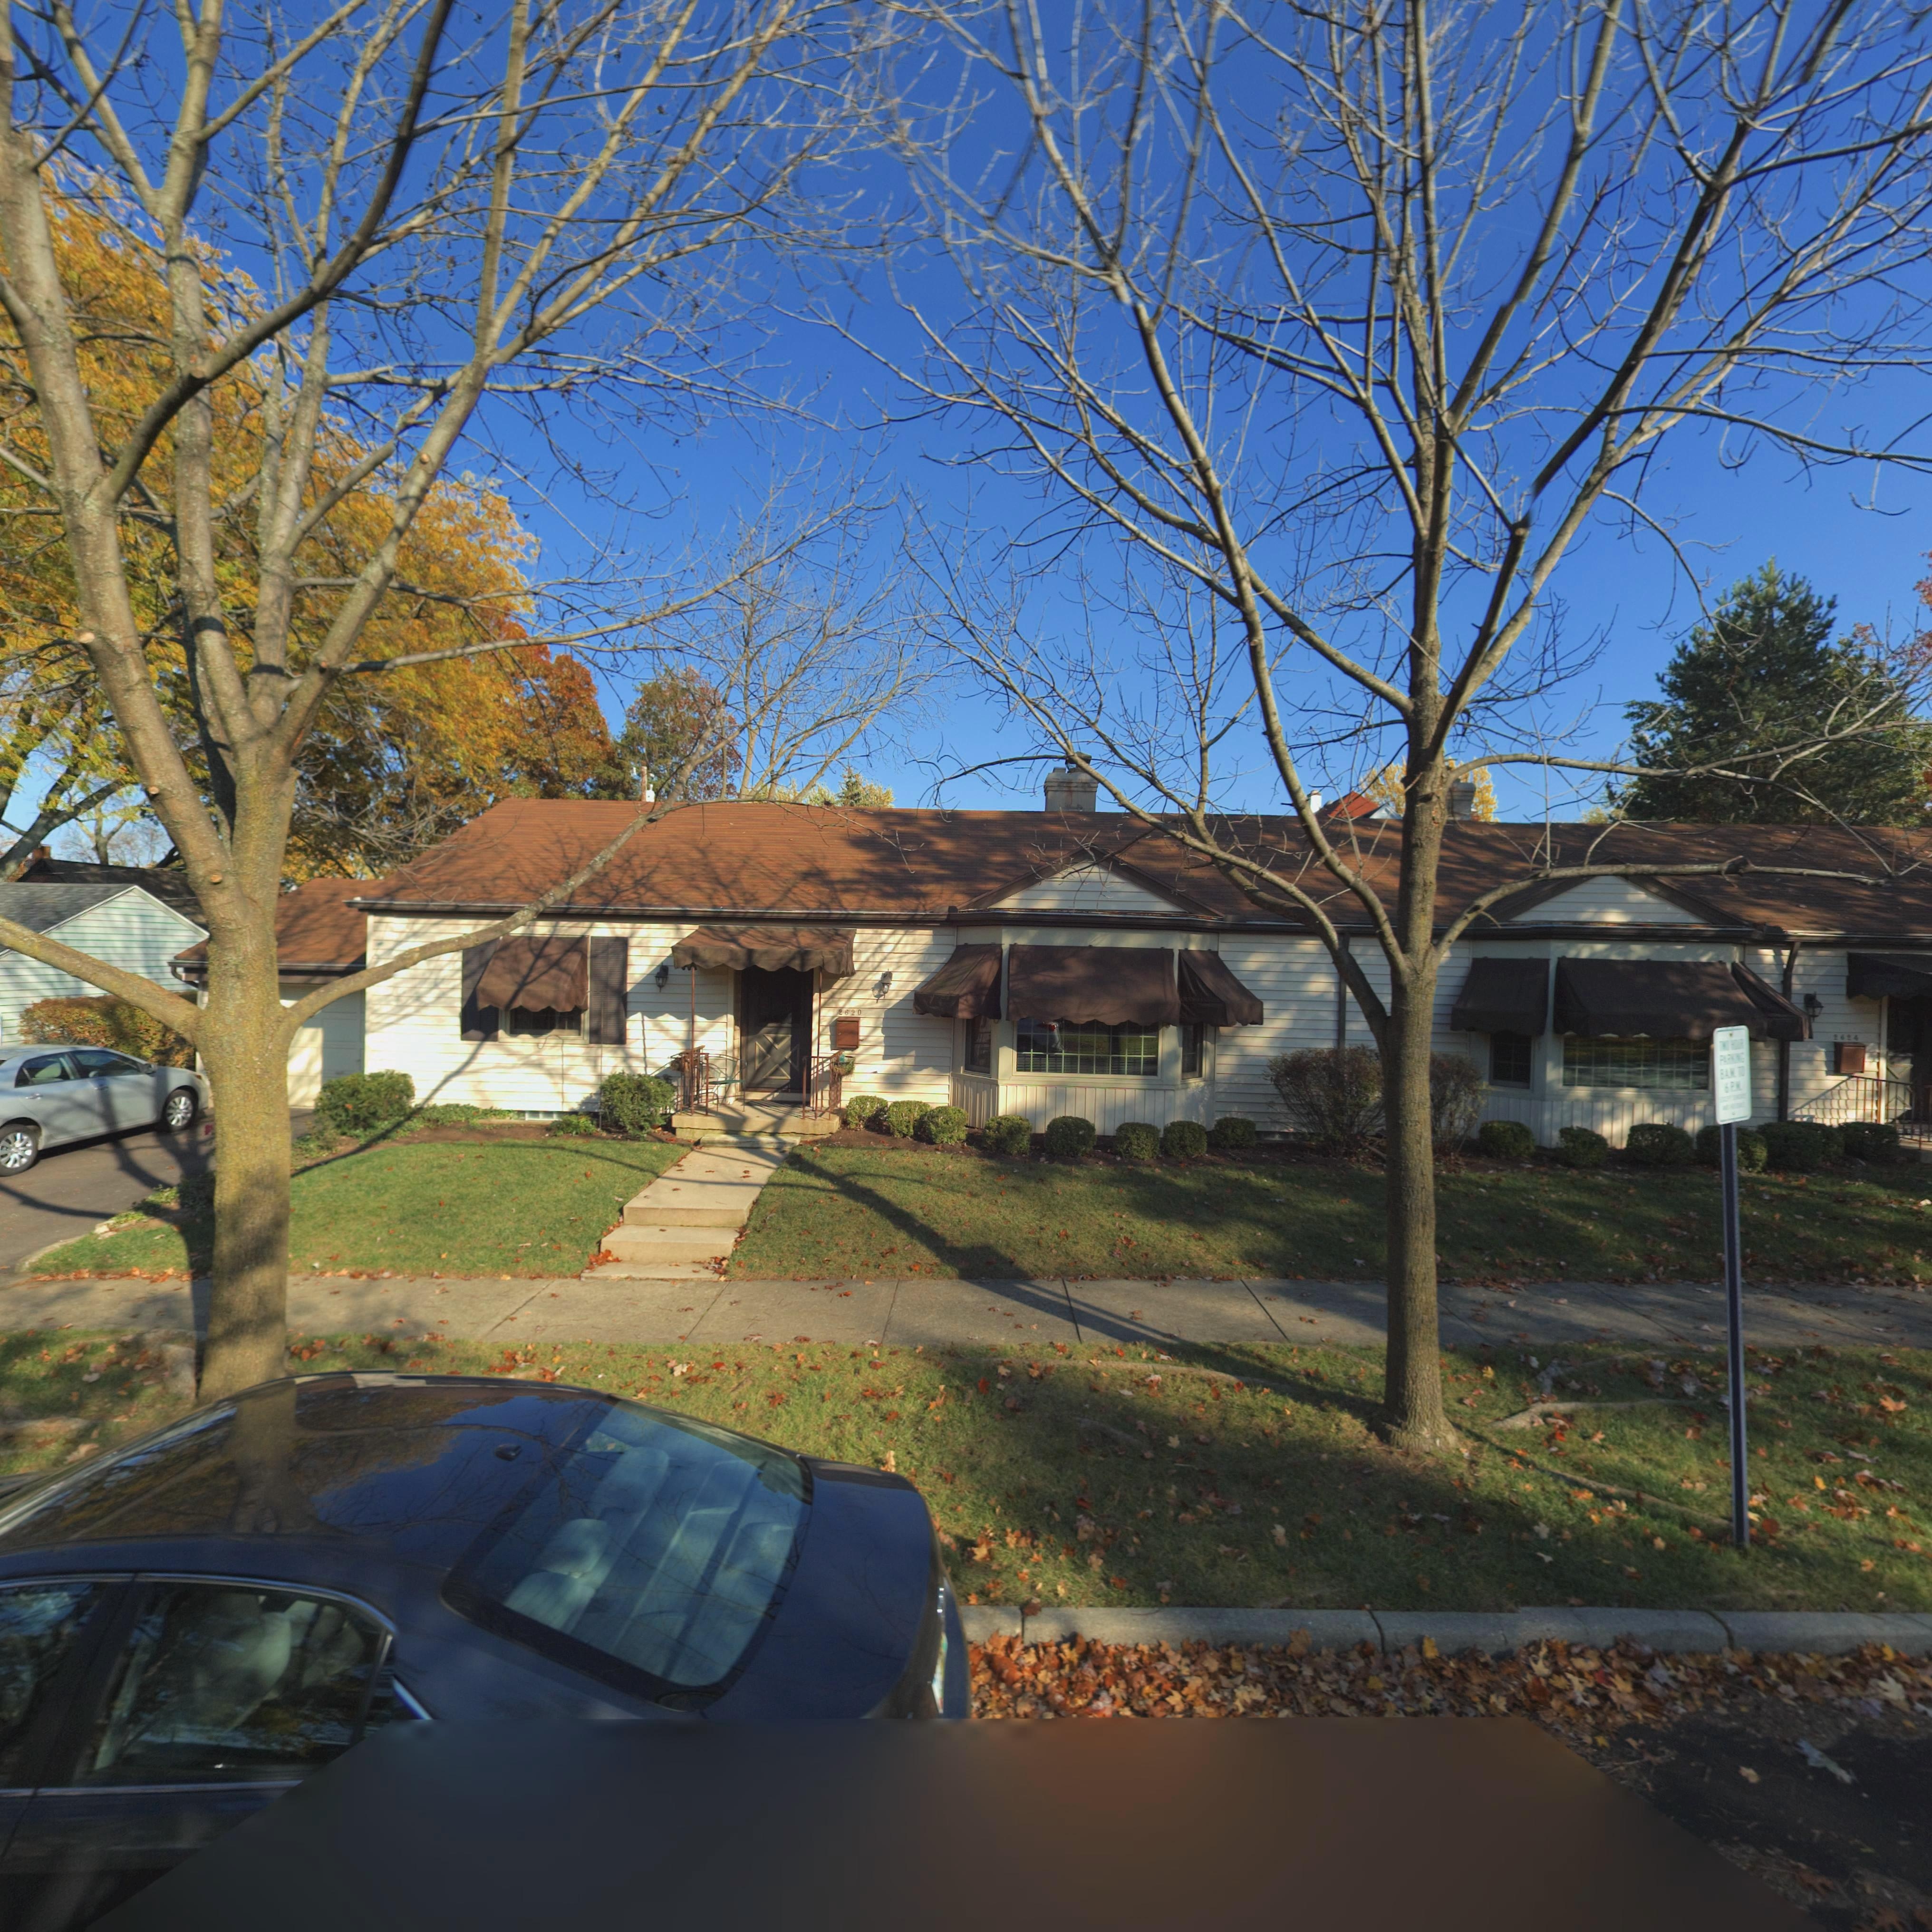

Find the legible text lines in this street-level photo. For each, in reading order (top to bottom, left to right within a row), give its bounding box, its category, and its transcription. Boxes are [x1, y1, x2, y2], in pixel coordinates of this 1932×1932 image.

[837, 1007, 863, 1017] StreetNumber: 2620
[1831, 1032, 1861, 1043] StreetNumber: 2624
[1718, 1063, 1748, 1082] None: 8 A.M. TO
[1722, 1079, 1744, 1095] None: 6 P.M.